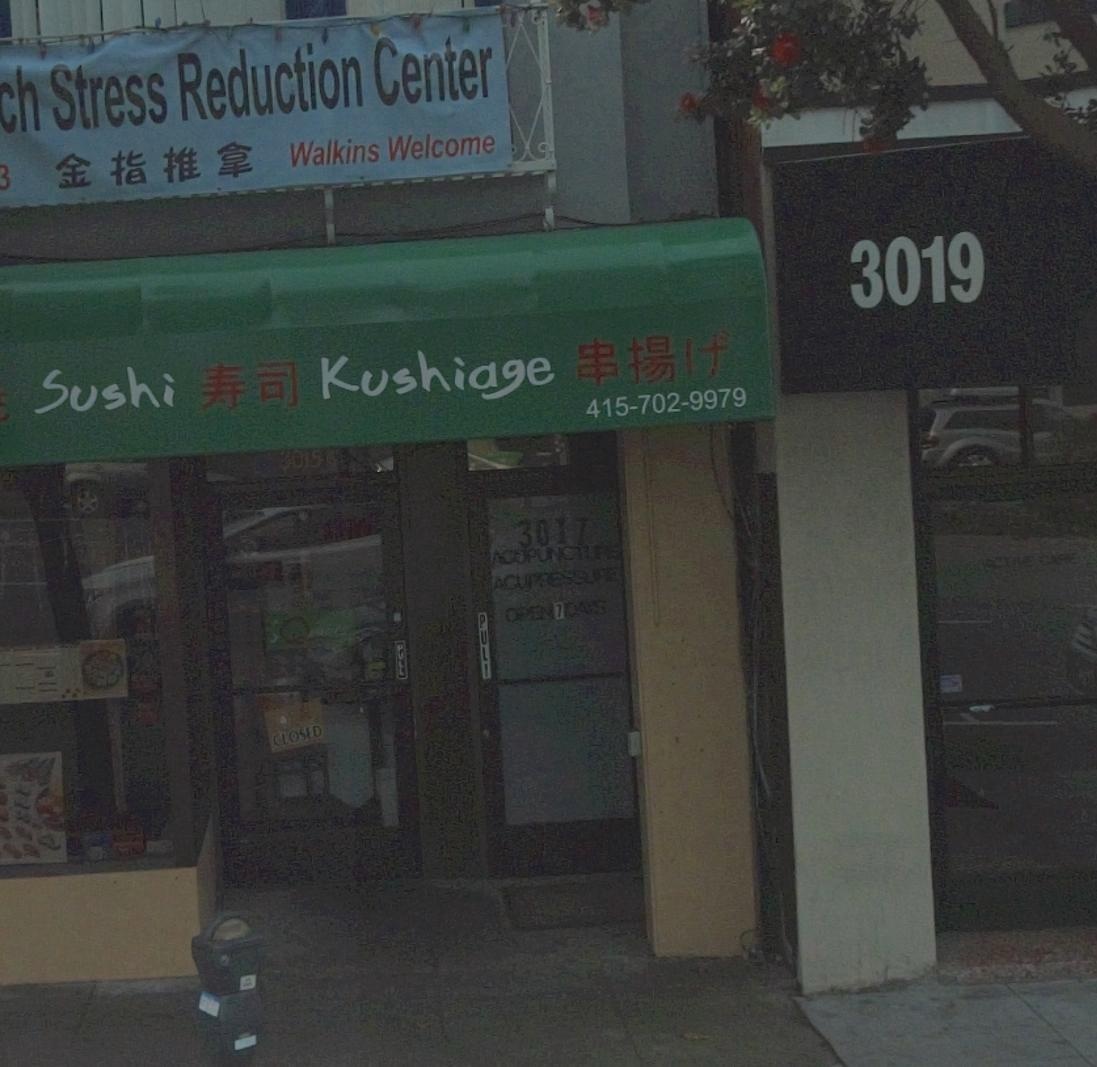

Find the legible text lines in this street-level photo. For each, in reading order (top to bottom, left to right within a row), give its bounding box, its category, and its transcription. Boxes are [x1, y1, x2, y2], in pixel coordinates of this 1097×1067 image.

[15, 34, 493, 133] BusinessName: h Stress Reduction Center
[289, 132, 496, 169] None: Walkins Welcome
[849, 230, 987, 309] None: 3019
[31, 363, 177, 416] BusinessName: Sushi
[319, 348, 558, 403] BusinessName: Kushiage
[584, 386, 748, 420] None: 415-702-9979
[279, 448, 323, 470] None: 3015
[517, 515, 590, 547] StreetNumber: 3017
[490, 543, 622, 569] None: ACUPUNCTURE
[491, 566, 621, 594] None: ACUPRESSURE
[505, 599, 608, 624] None: OPEN 7 DAYS
[396, 643, 406, 678] None: PULL
[478, 613, 490, 680] None: PUL*
[271, 724, 323, 748] None: CLOSED